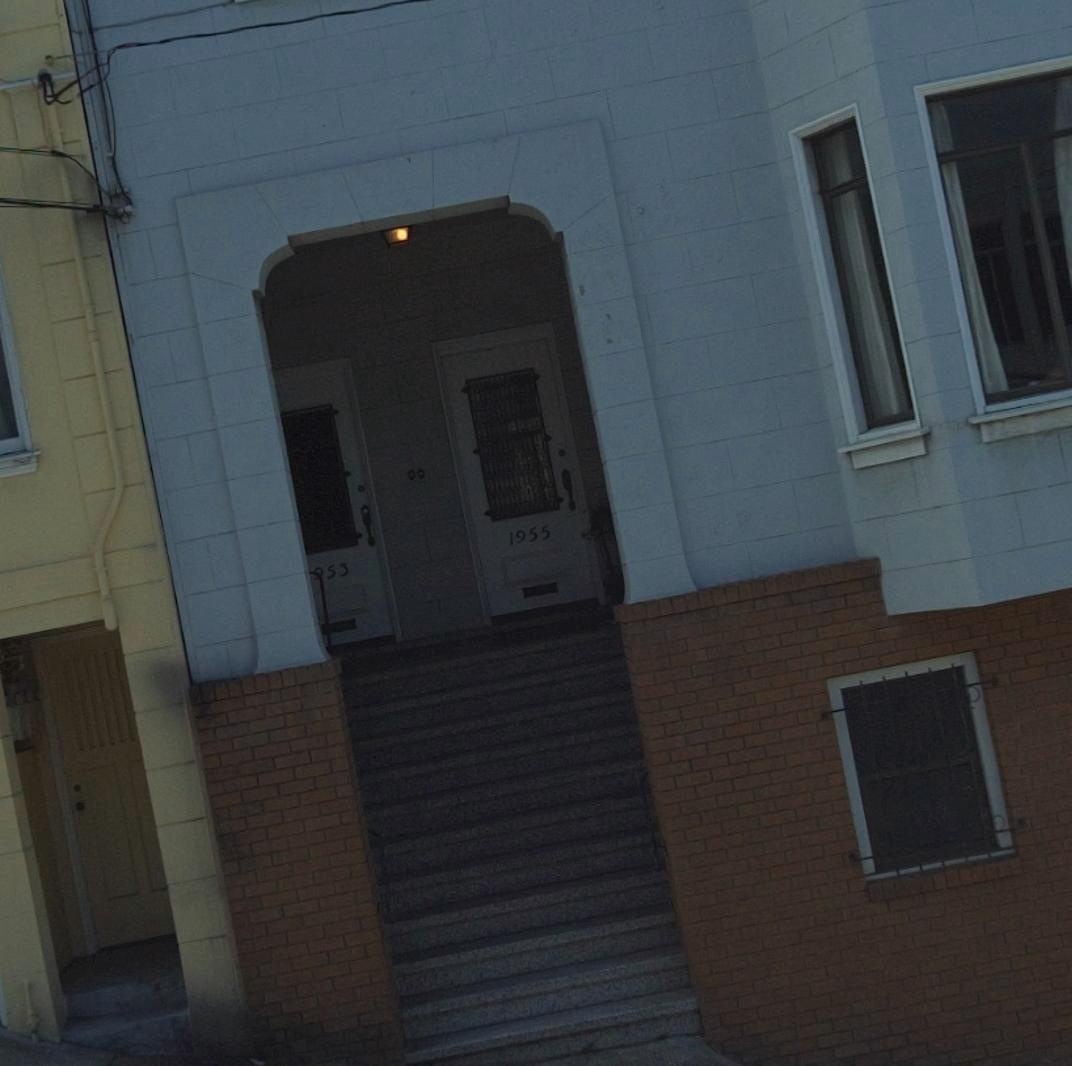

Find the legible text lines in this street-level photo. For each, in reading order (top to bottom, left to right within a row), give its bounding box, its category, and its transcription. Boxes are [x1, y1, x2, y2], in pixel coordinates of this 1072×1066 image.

[508, 522, 552, 548] StreetNumber: 1955
[312, 560, 351, 582] StreetNumber: *53